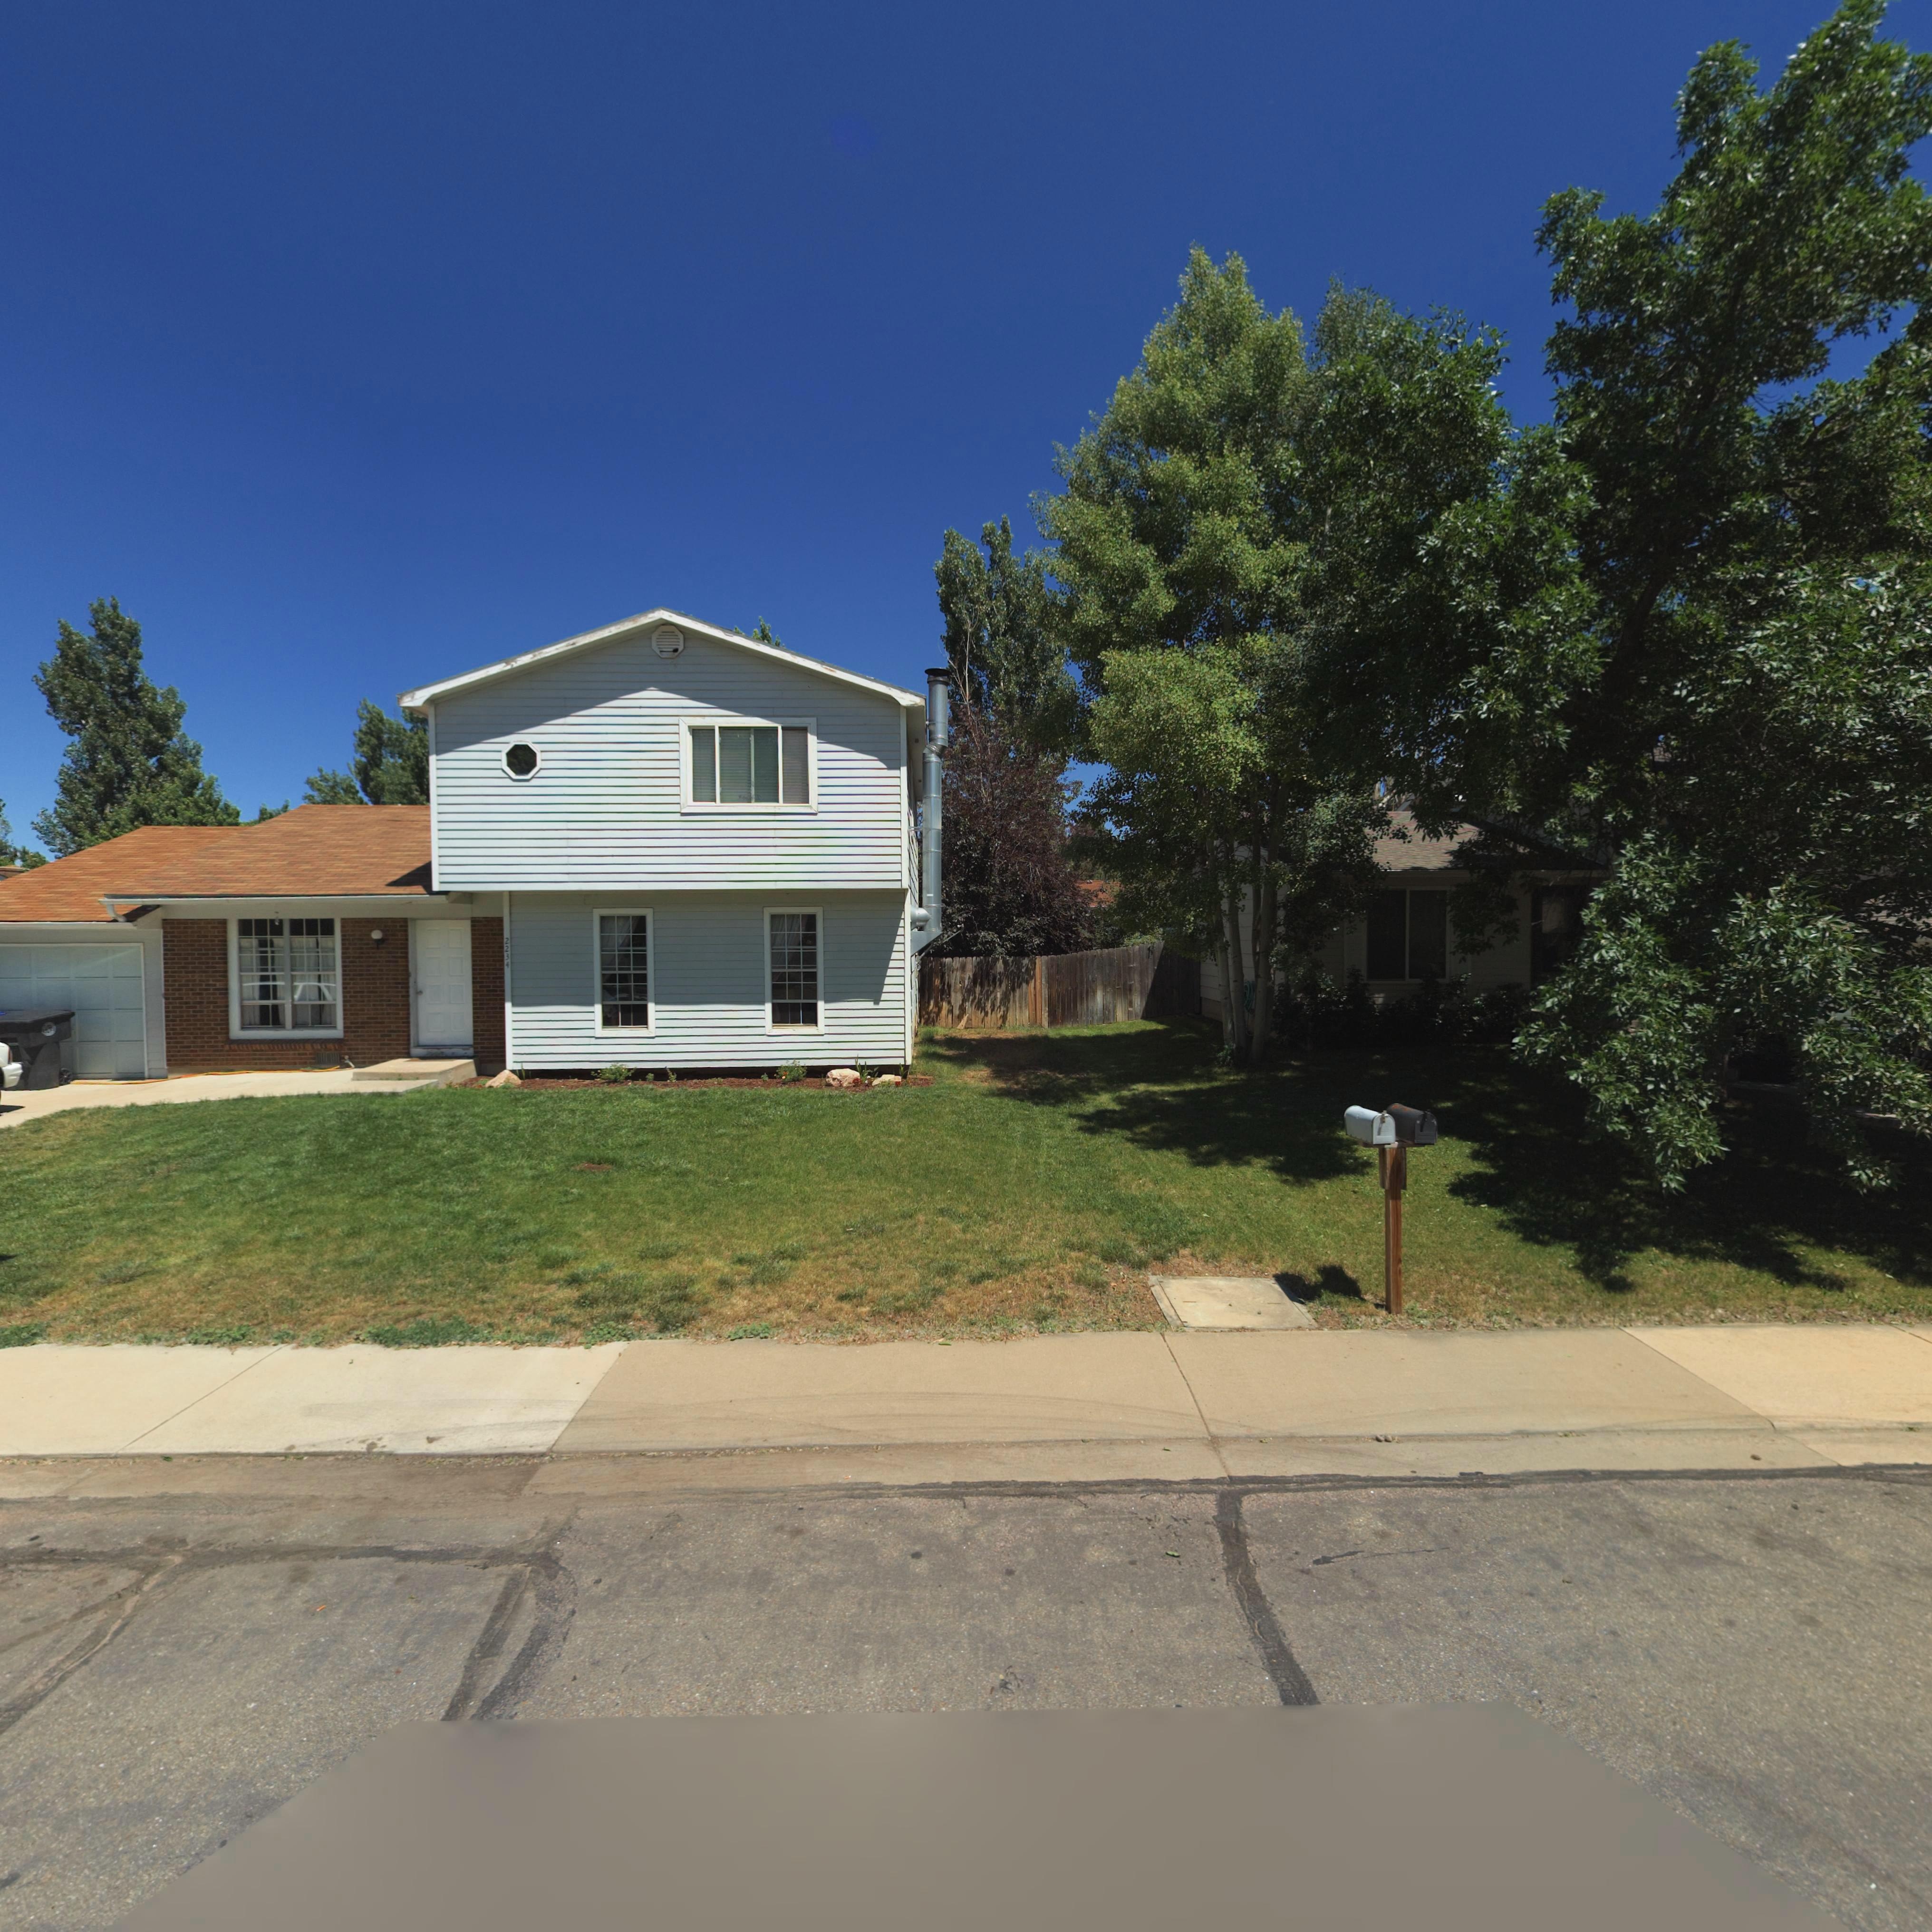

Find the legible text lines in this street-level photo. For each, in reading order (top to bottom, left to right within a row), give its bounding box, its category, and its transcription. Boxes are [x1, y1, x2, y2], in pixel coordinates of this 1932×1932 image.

[504, 937, 510, 970] StreetNumber: 2234